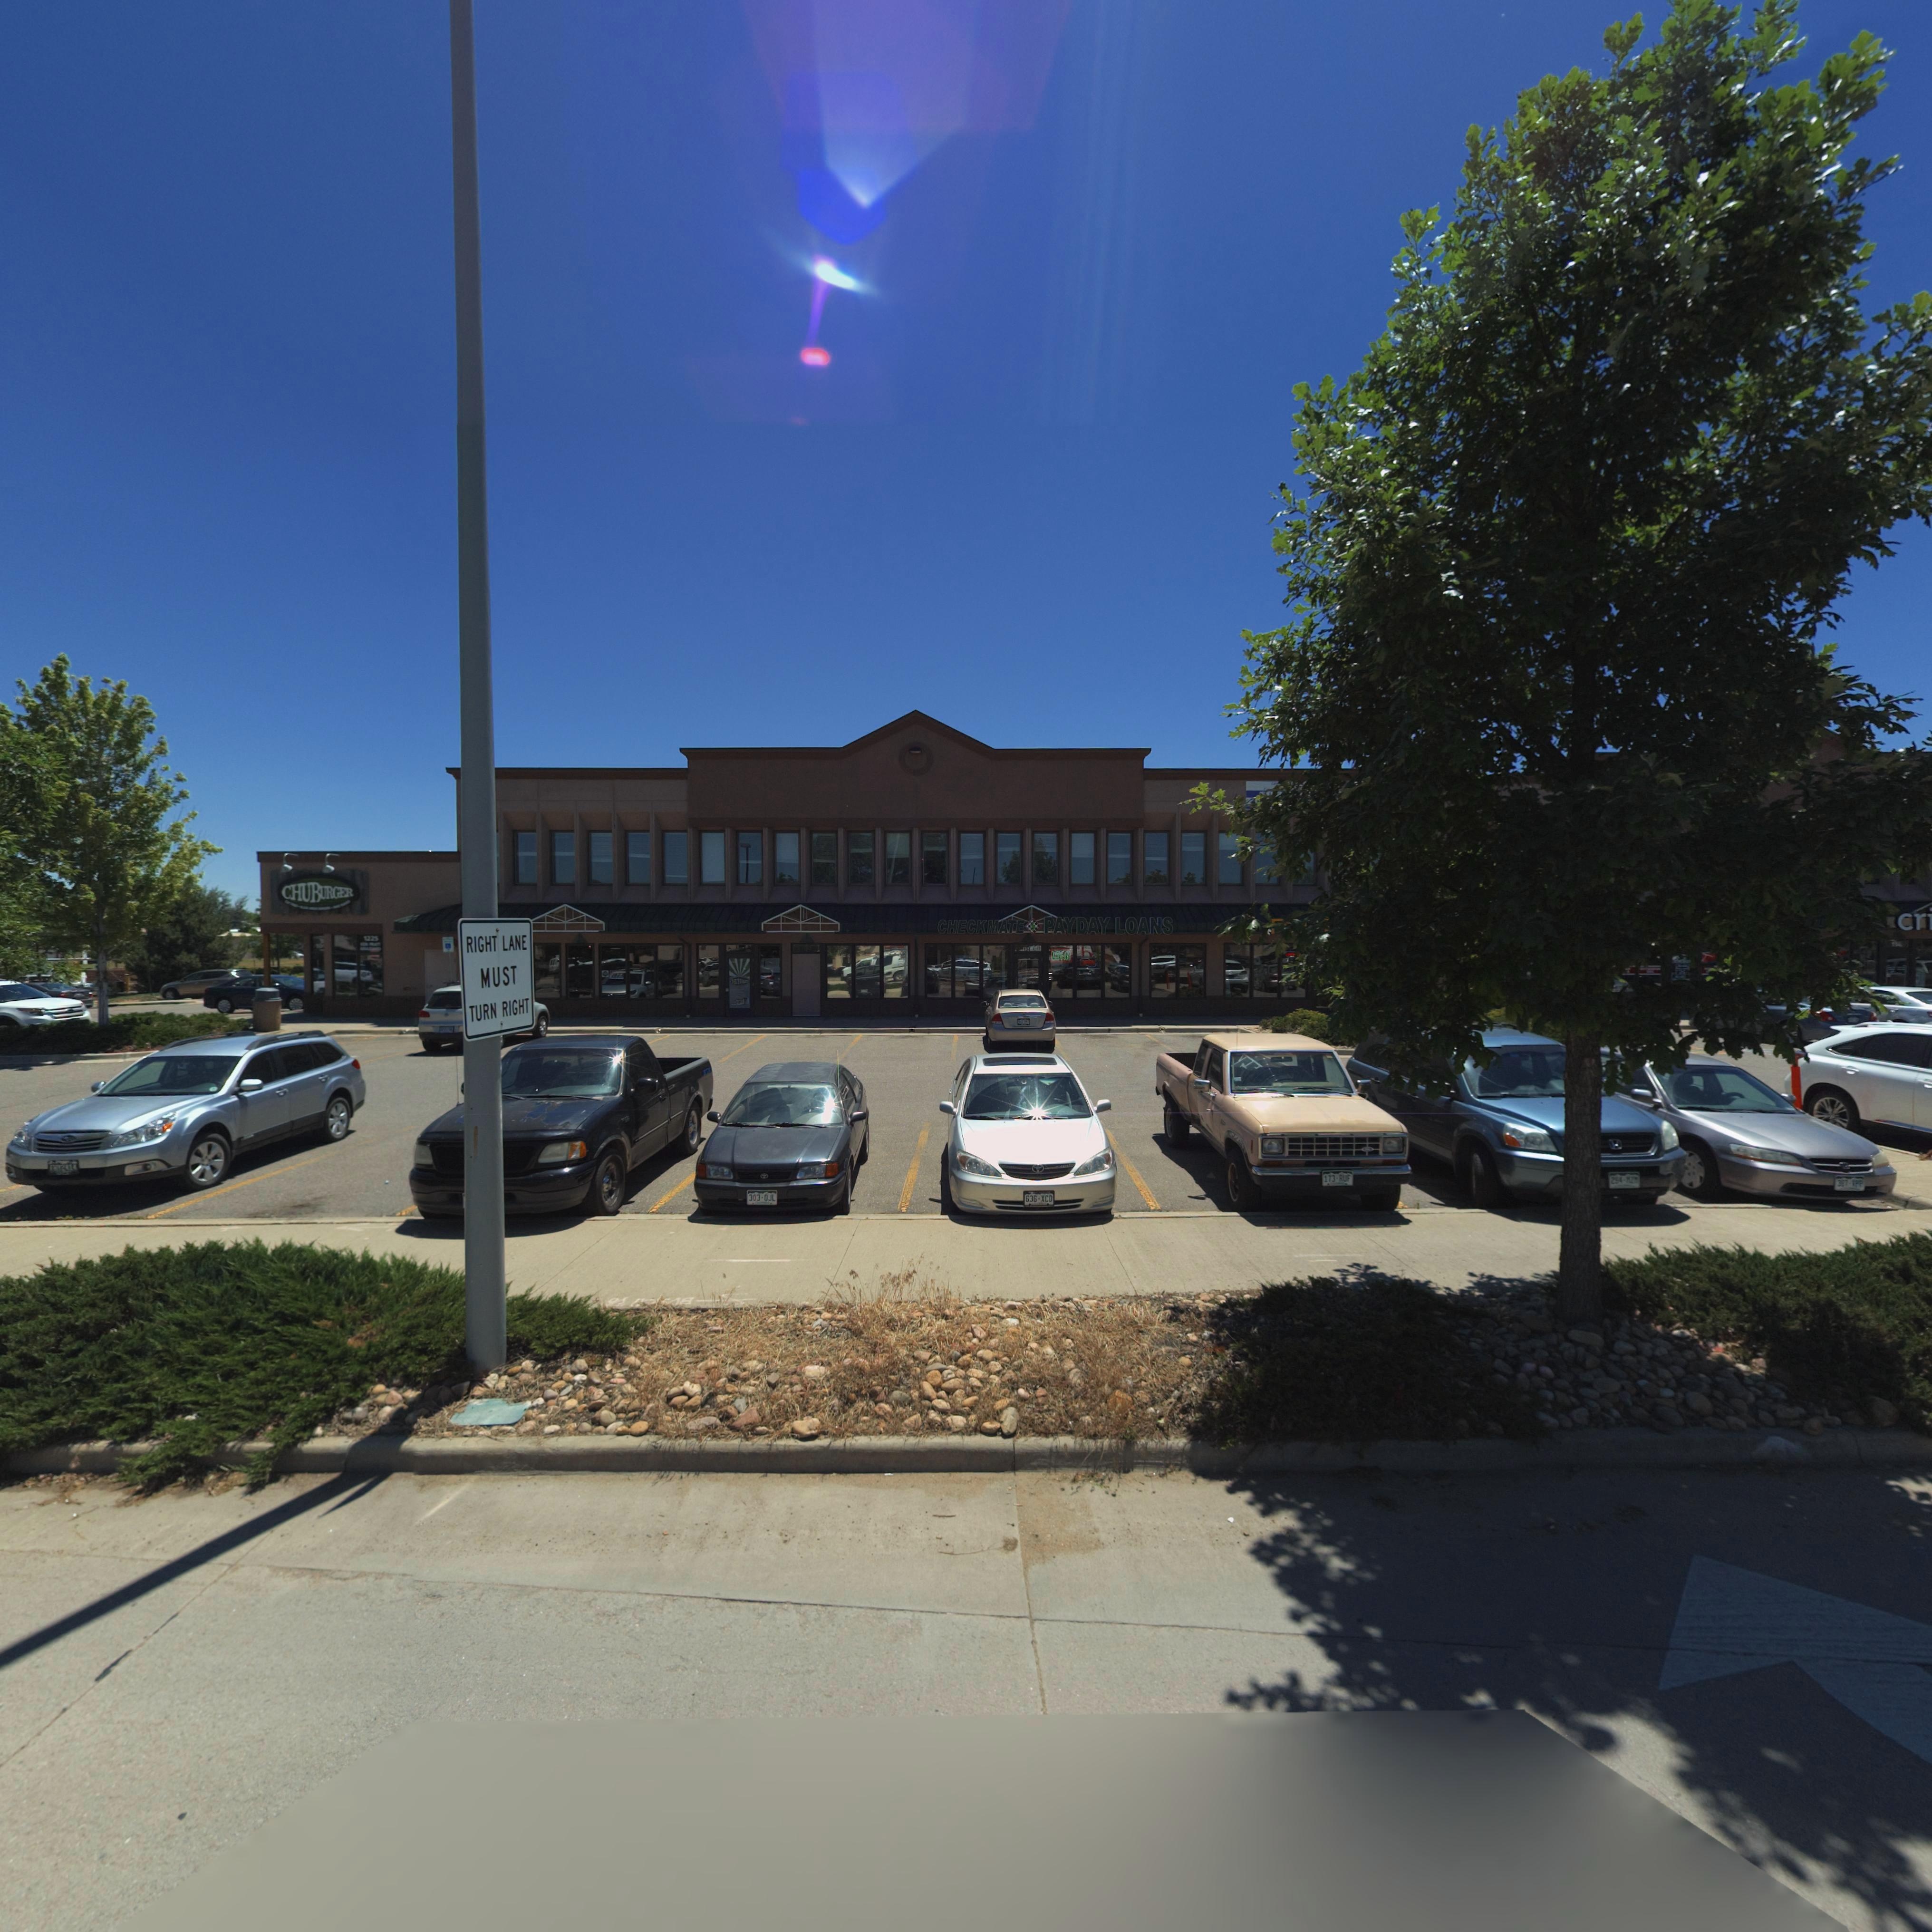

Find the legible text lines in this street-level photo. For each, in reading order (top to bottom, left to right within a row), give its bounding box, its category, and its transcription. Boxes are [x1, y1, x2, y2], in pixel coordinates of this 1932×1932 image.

[281, 881, 354, 903] BusinessName: CHUBURGER
[936, 916, 1174, 935] BusinessName: CHECKMATE * PAYDAY LOANS
[1897, 912, 1927, 931] BusinessName: cr
[363, 935, 379, 942] StreetNumber: 1225
[1023, 947, 1030, 951] StreetNumber: 10*